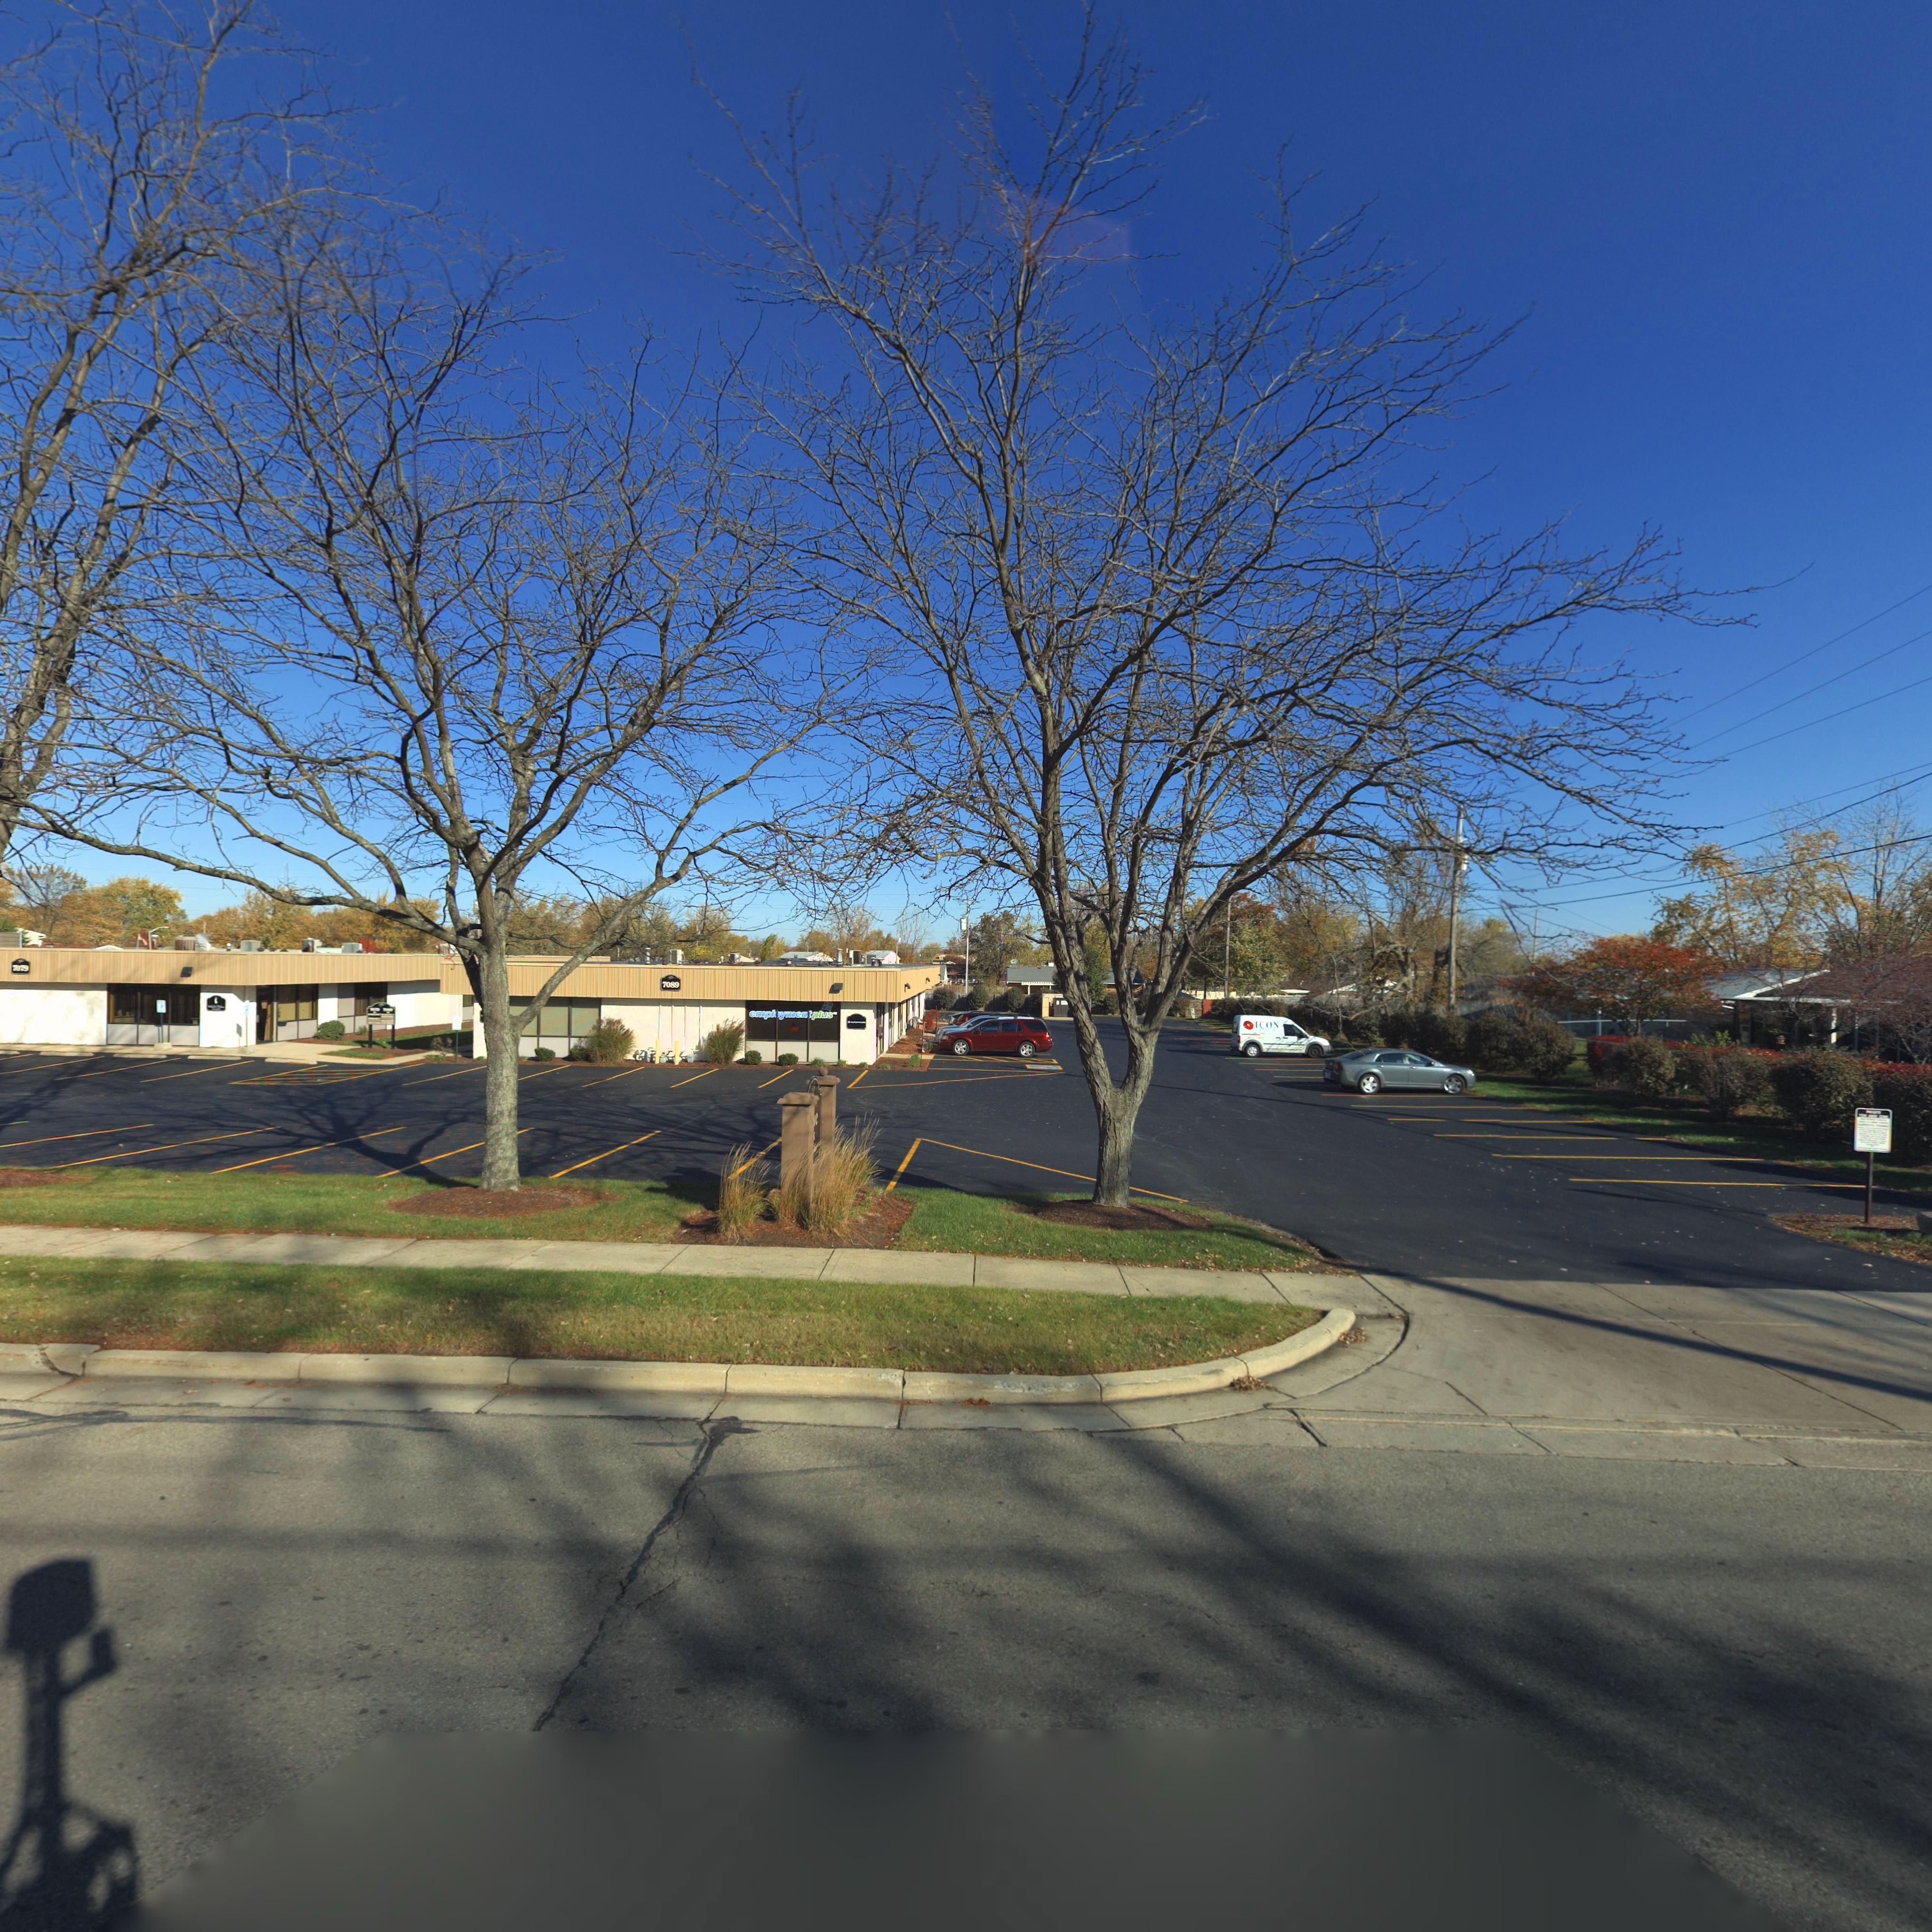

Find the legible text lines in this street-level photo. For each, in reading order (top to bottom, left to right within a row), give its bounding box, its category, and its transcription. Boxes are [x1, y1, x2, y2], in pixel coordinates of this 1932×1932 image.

[11, 963, 30, 973] StreetNumber: ***9
[661, 980, 681, 989] StreetNumber: 7089
[748, 1008, 834, 1021] BusinessName: empl*ymen*plus